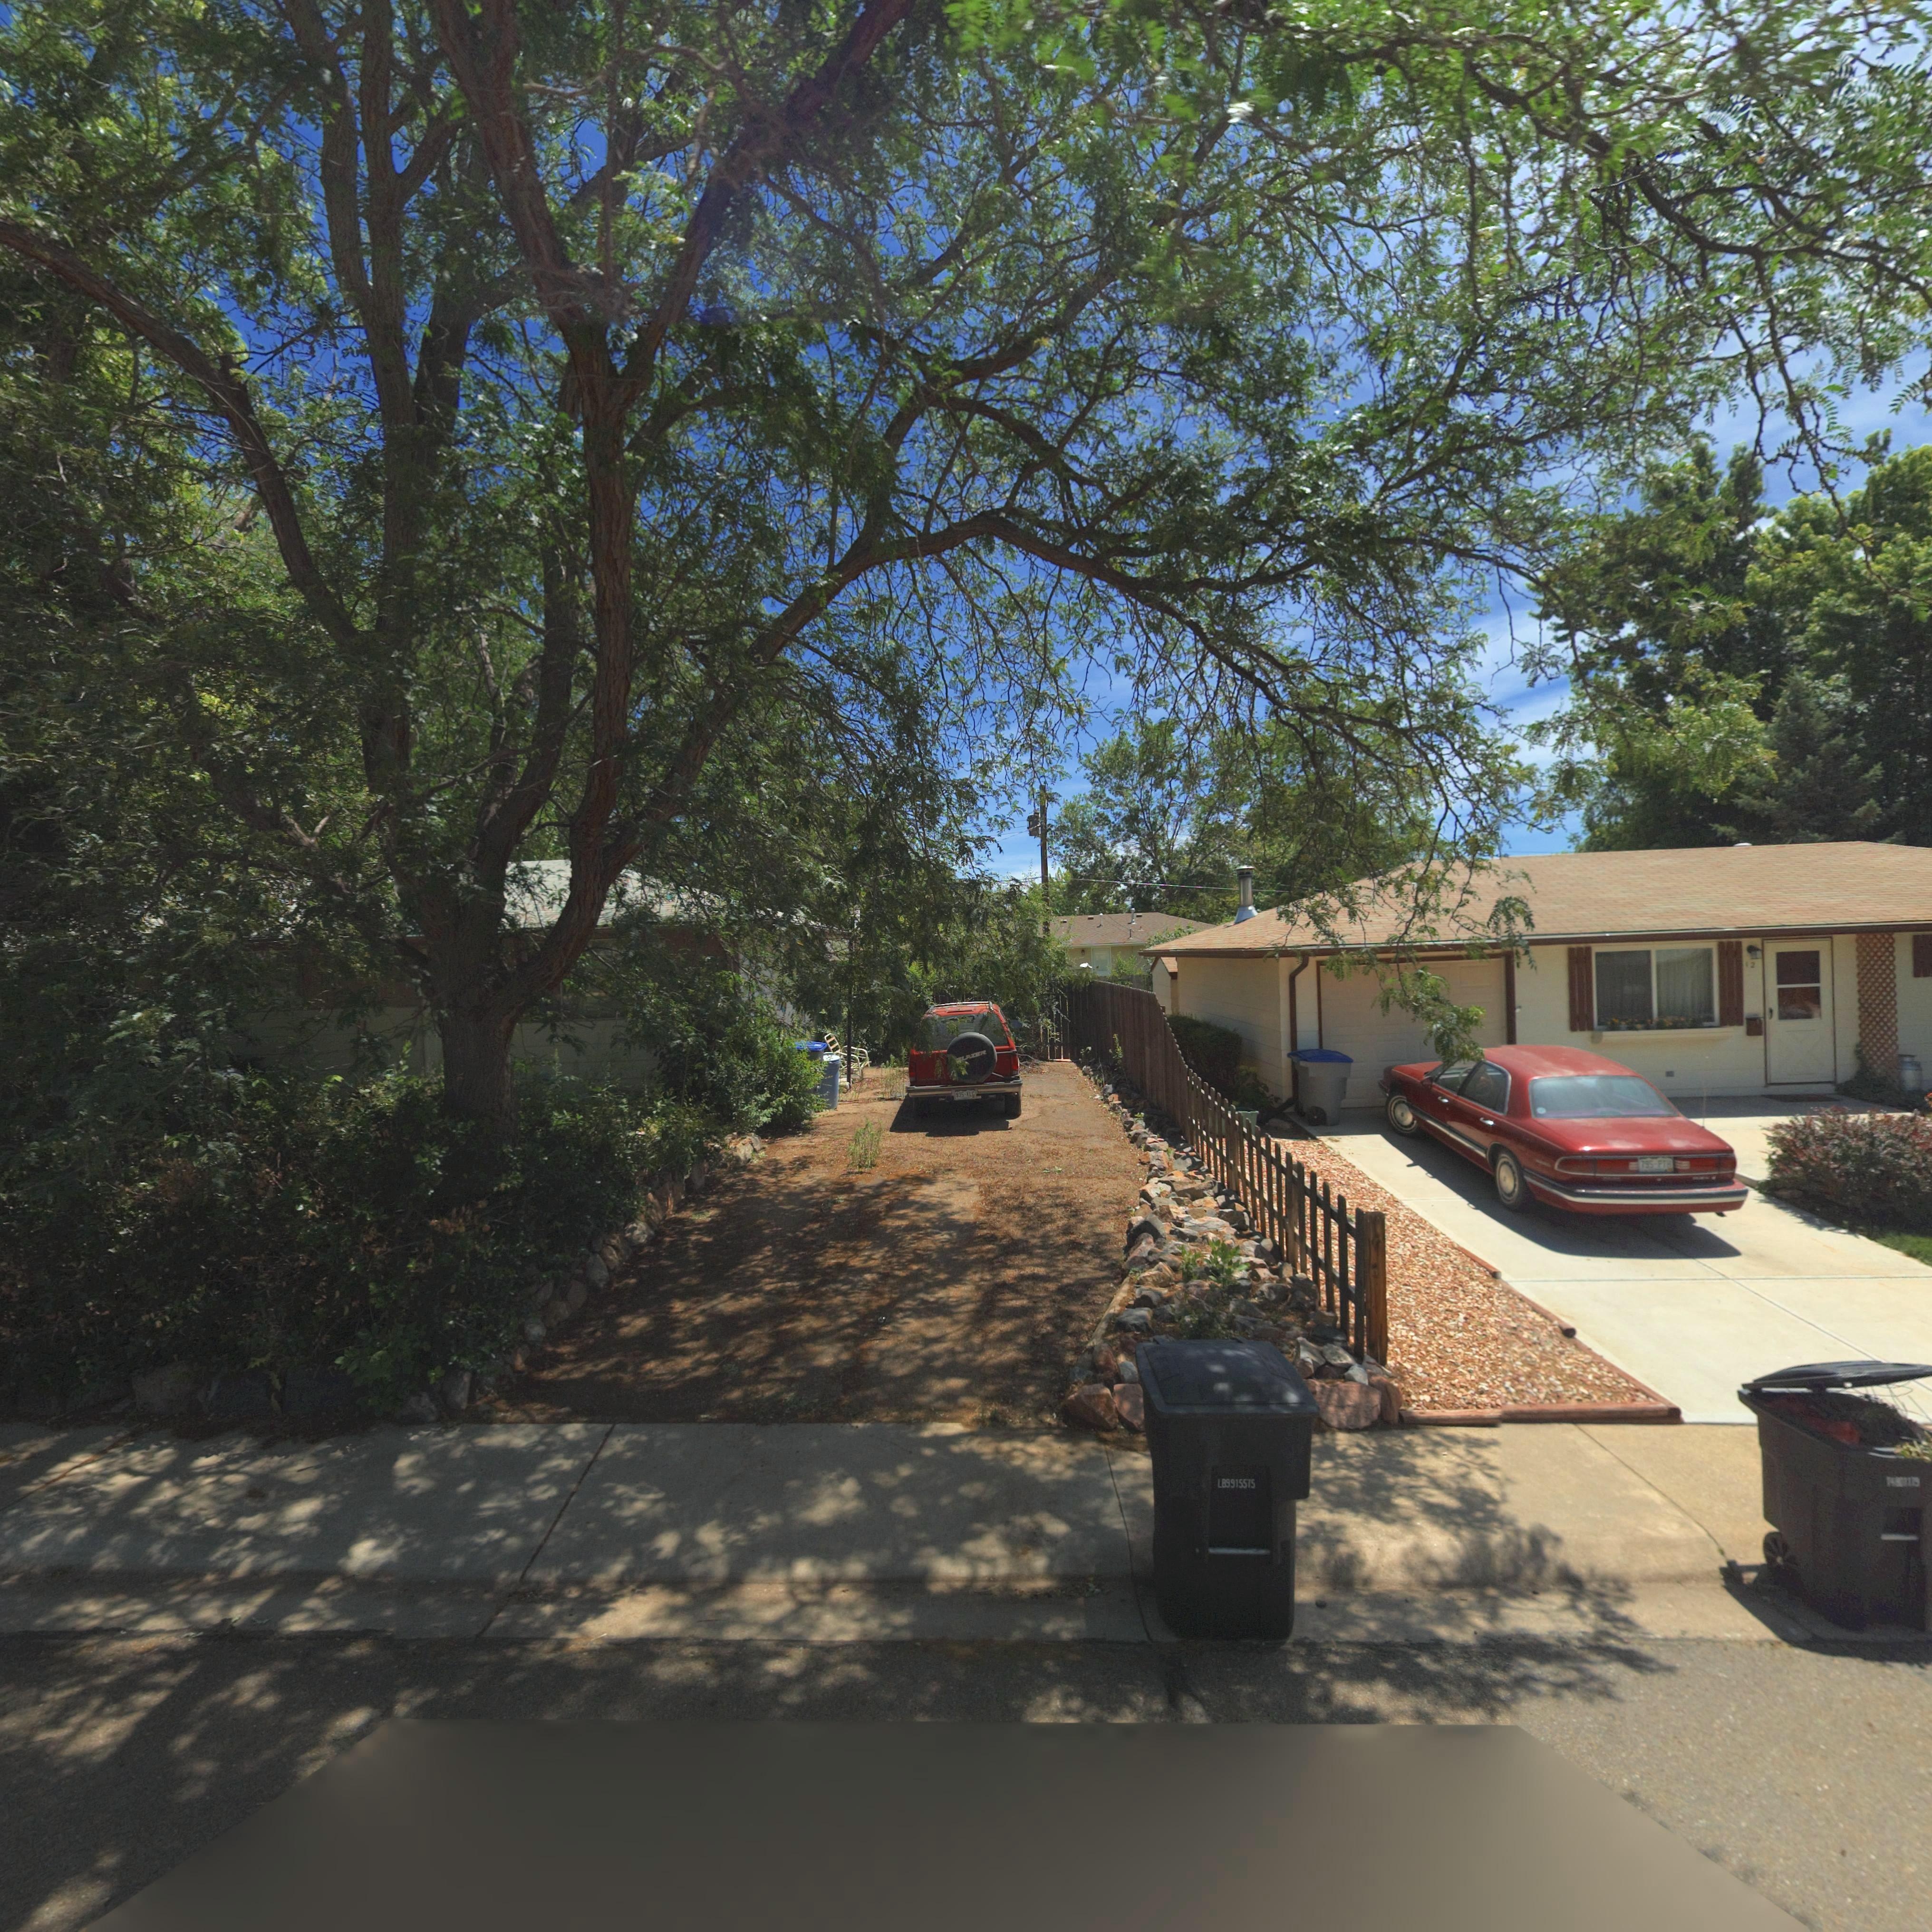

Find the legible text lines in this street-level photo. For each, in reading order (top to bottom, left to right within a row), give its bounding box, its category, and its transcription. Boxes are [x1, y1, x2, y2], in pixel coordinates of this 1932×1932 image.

[1744, 961, 1756, 968] StreetNumber: 12